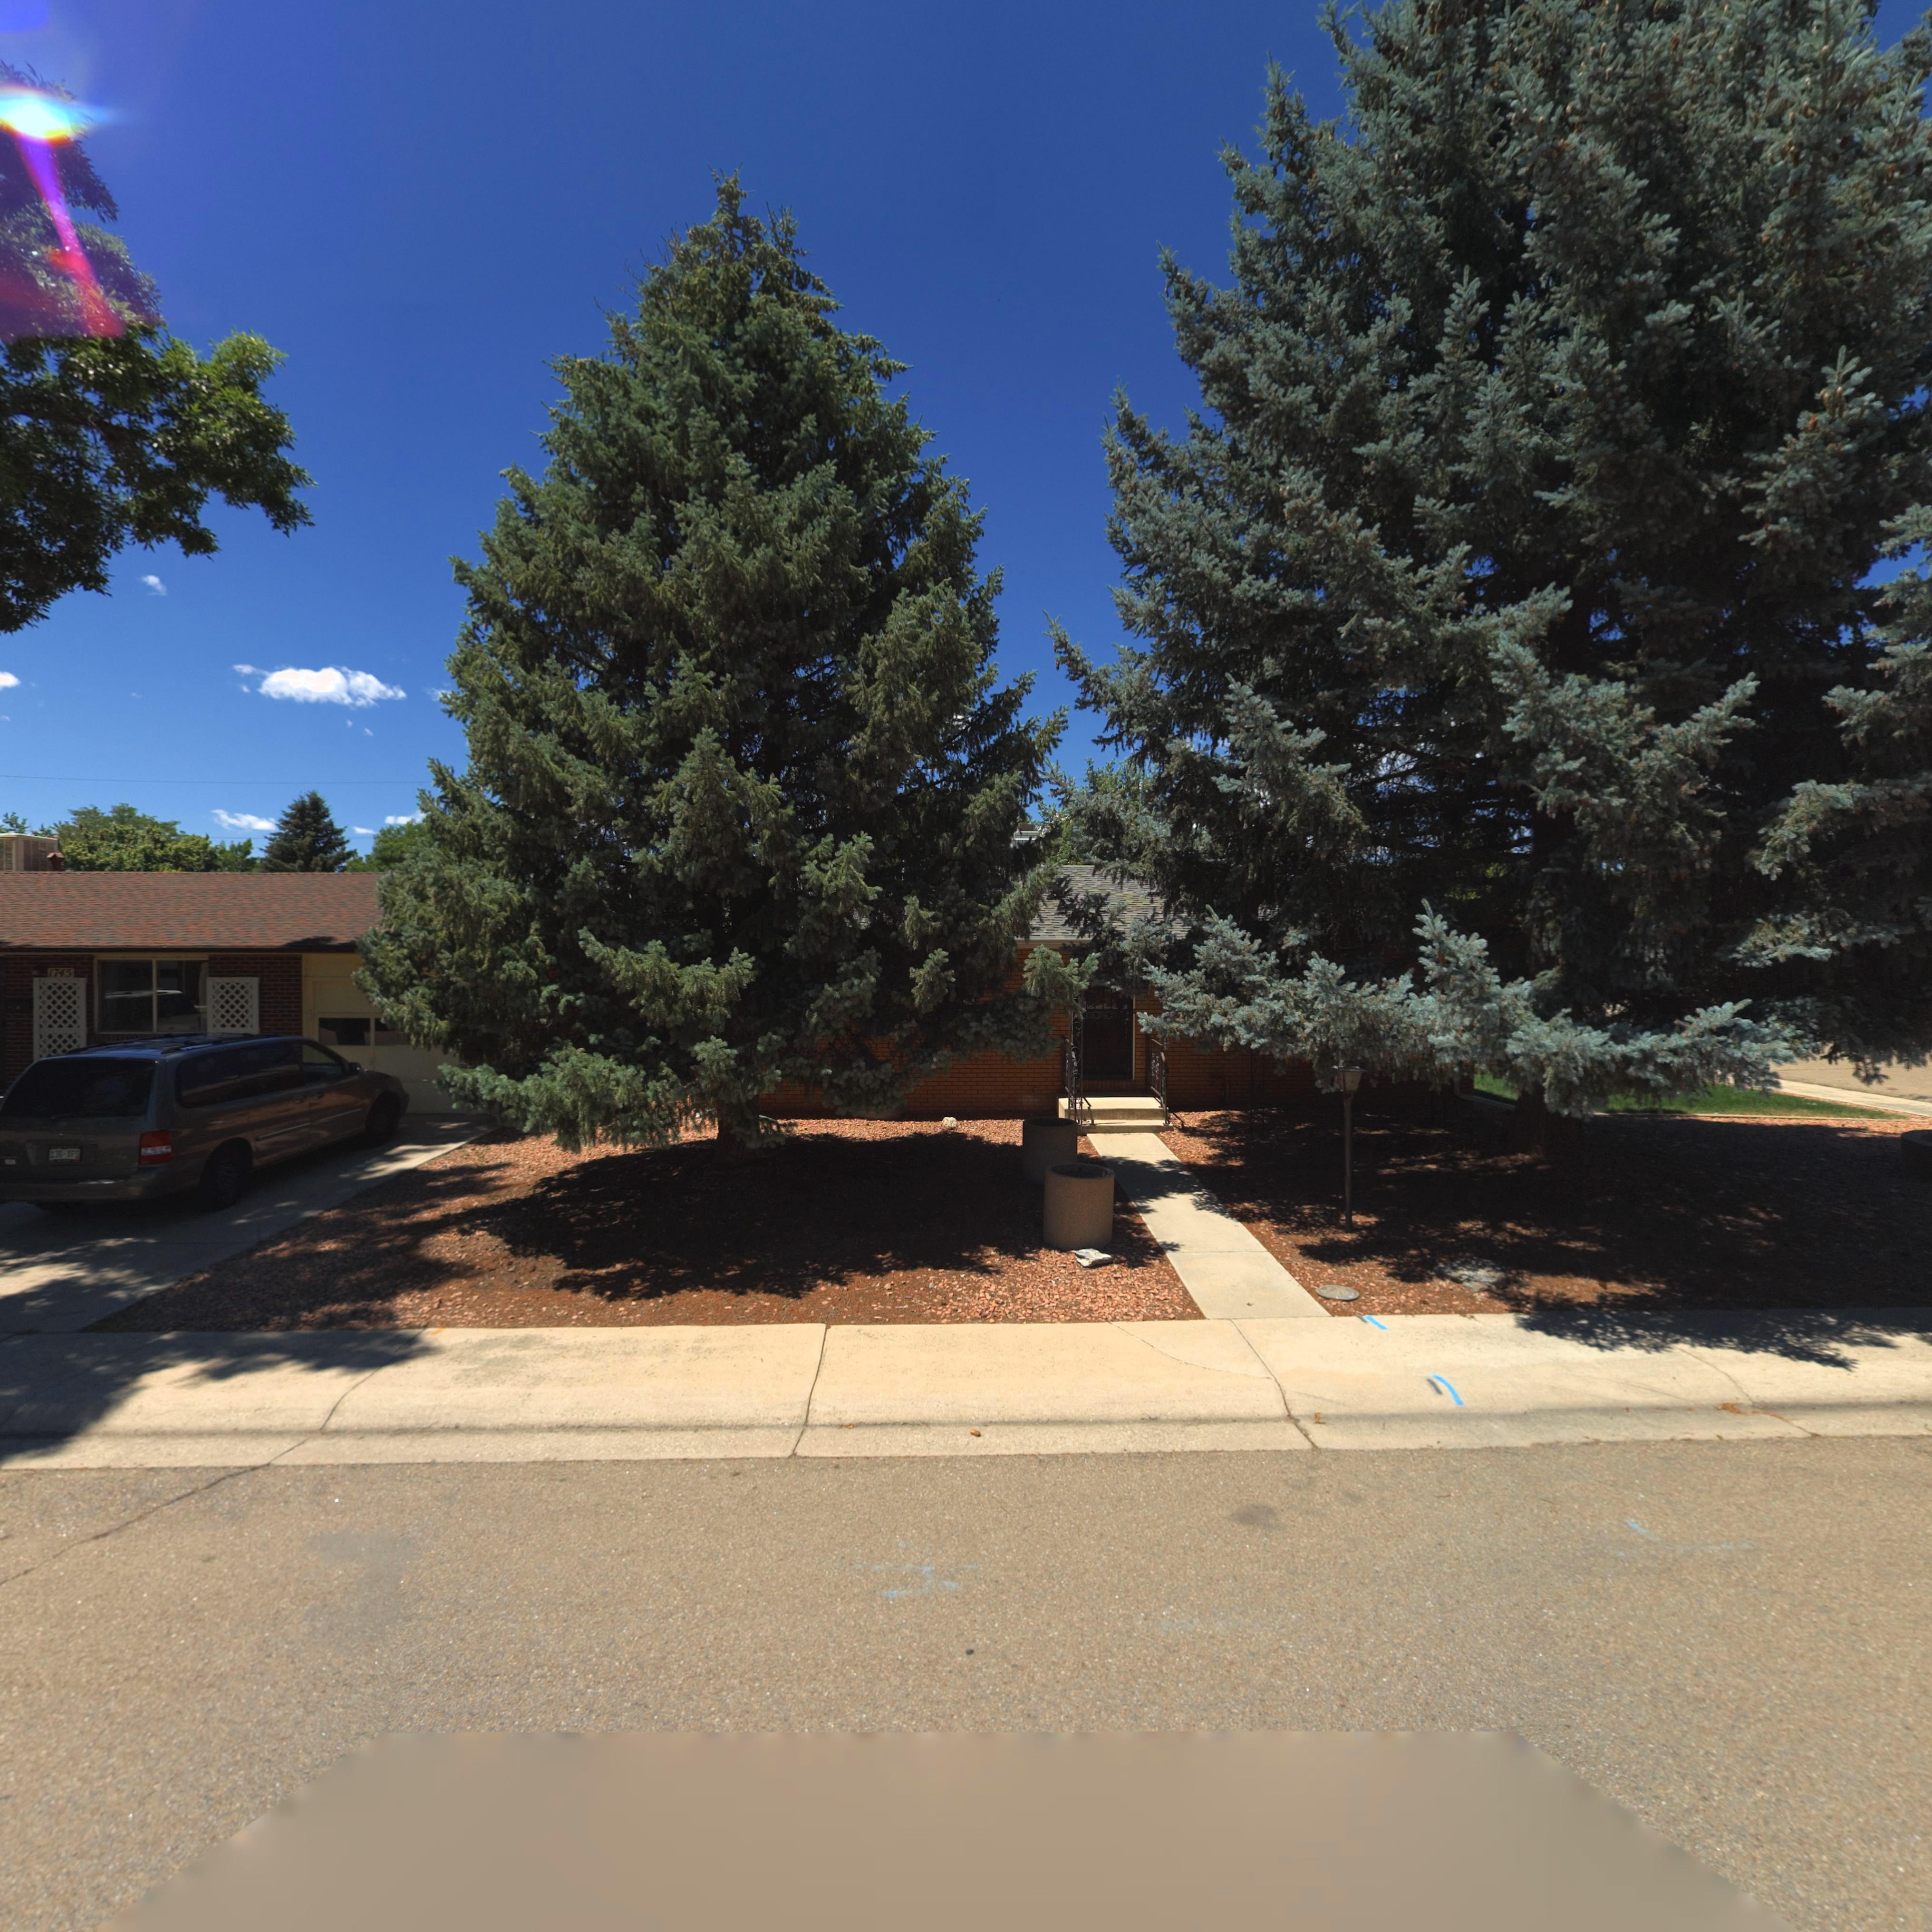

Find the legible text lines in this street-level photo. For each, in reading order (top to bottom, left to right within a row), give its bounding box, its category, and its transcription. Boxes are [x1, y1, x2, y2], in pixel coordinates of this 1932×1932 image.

[48, 968, 72, 977] StreetNumber: 1745